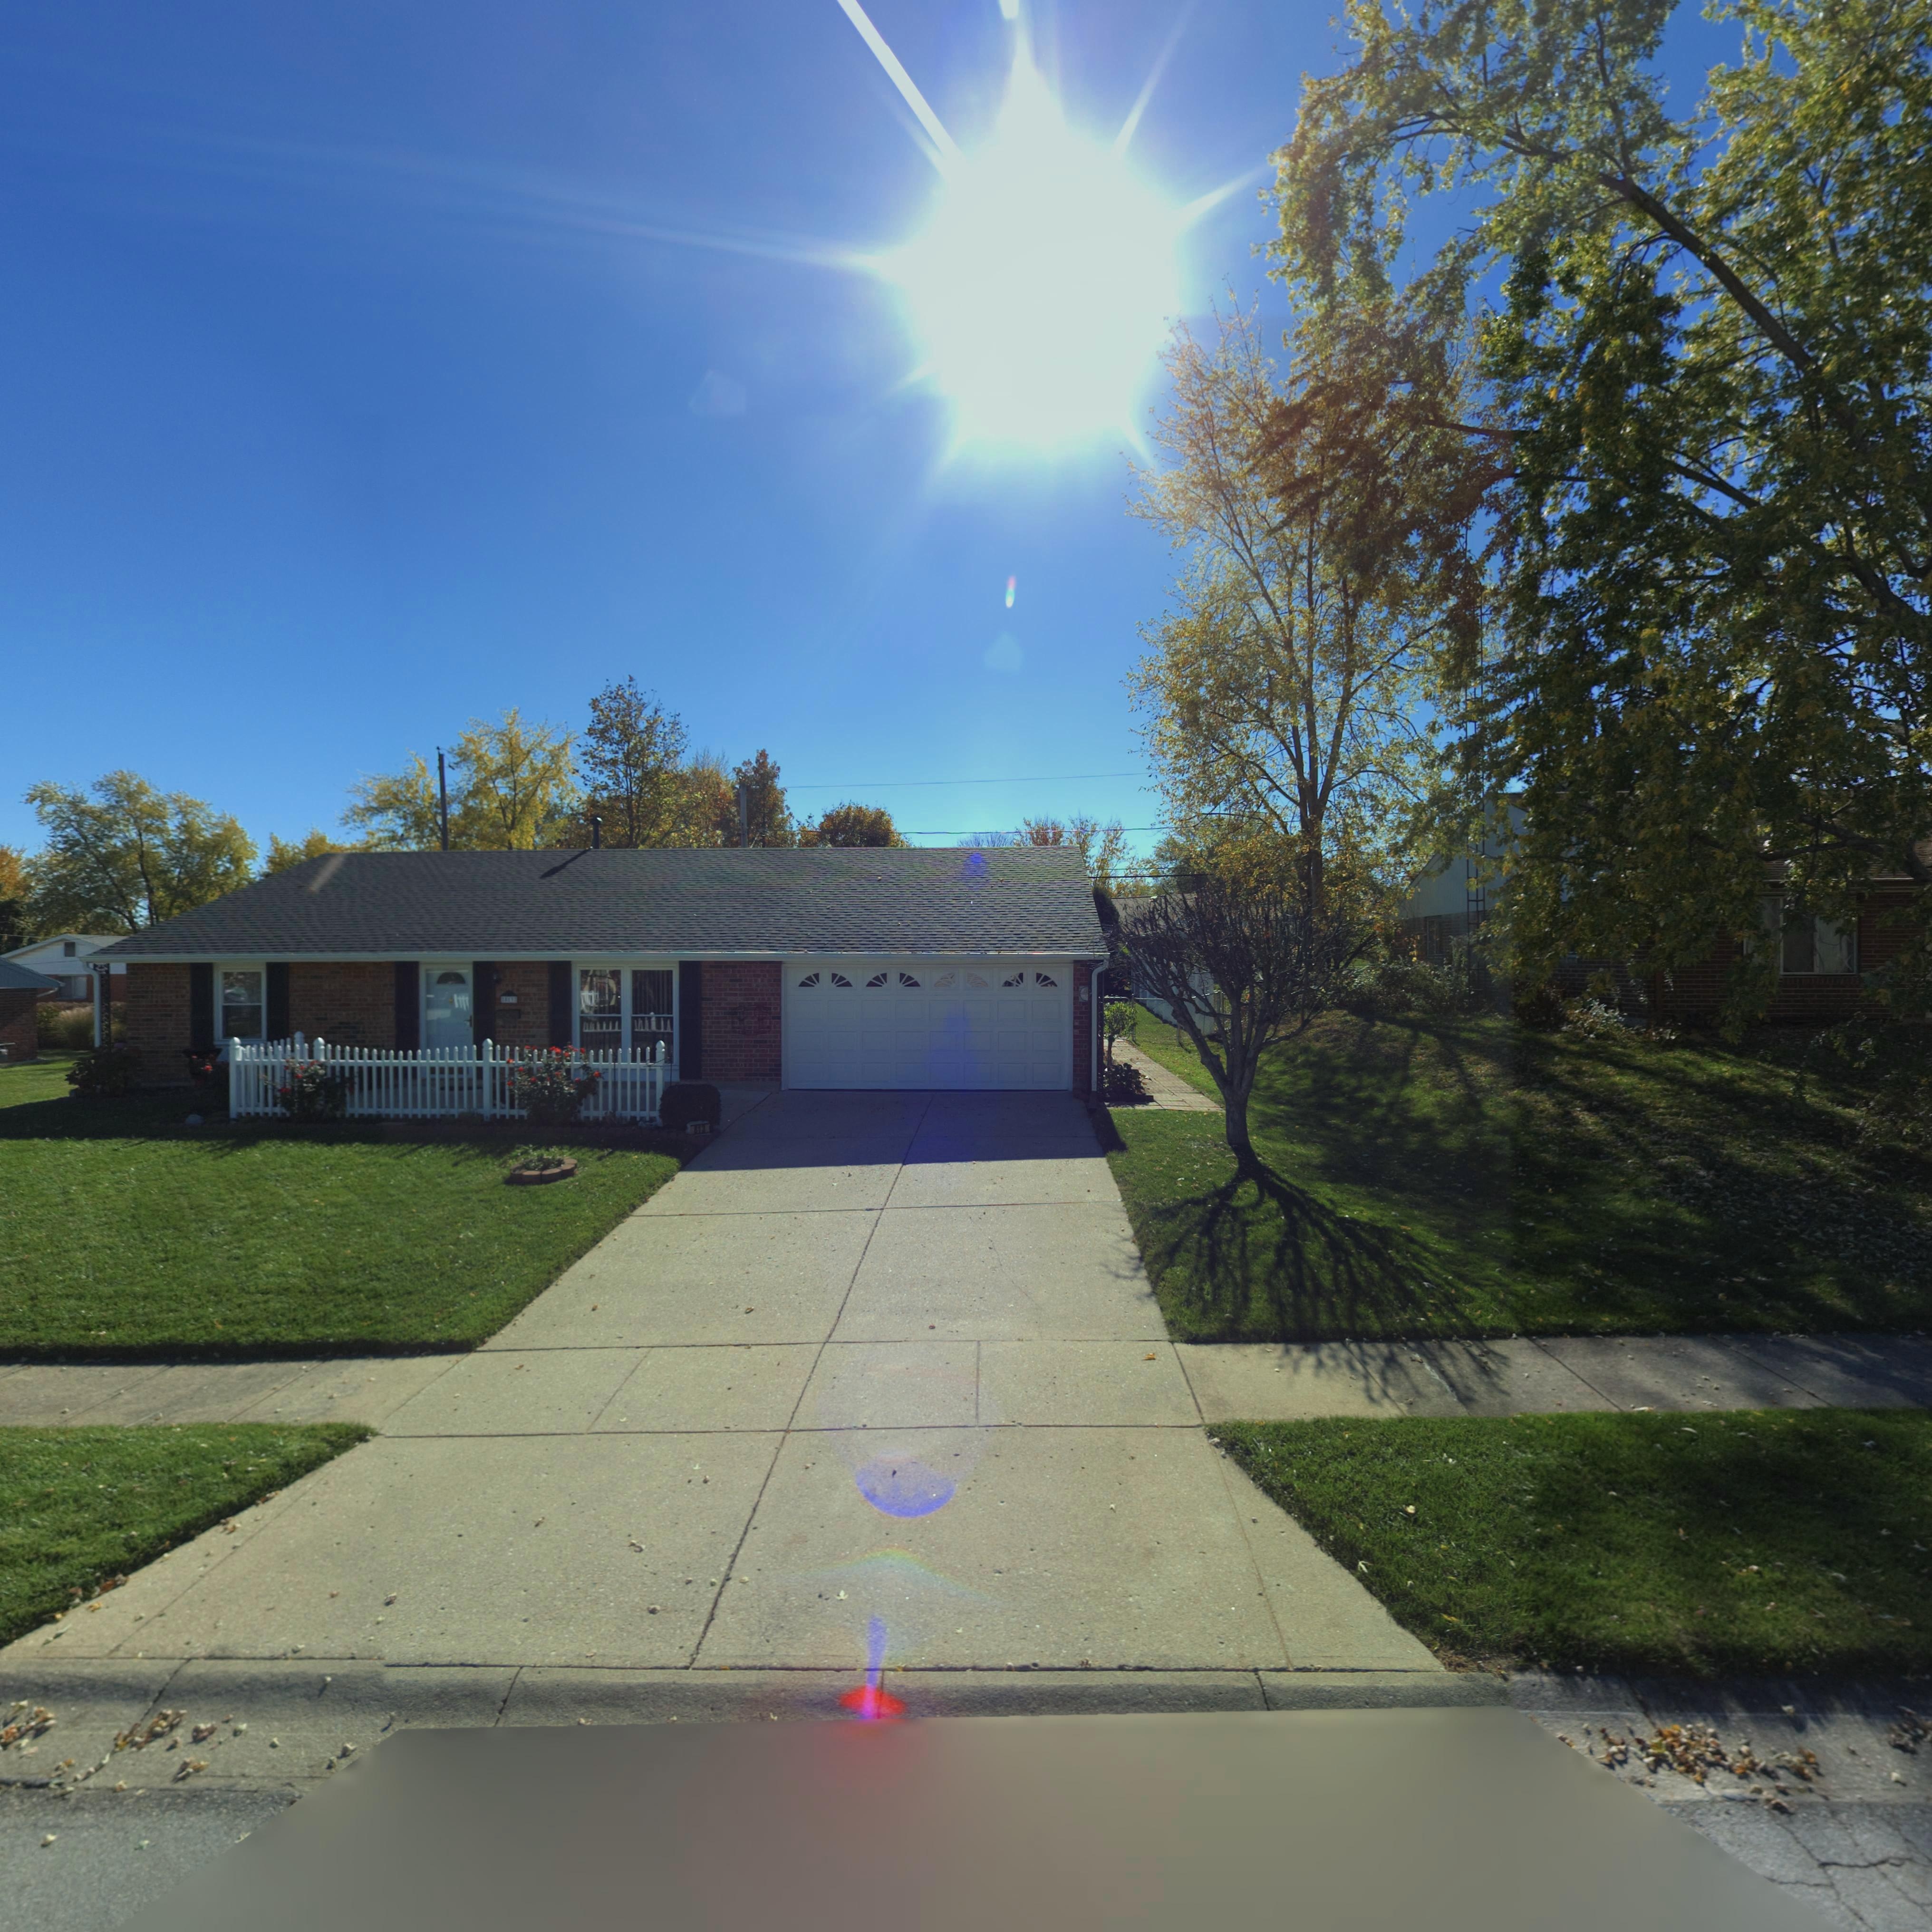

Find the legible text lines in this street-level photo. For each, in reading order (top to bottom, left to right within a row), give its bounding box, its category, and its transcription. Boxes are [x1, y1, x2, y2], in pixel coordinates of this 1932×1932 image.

[693, 1123, 706, 1134] StreetNumber: 813